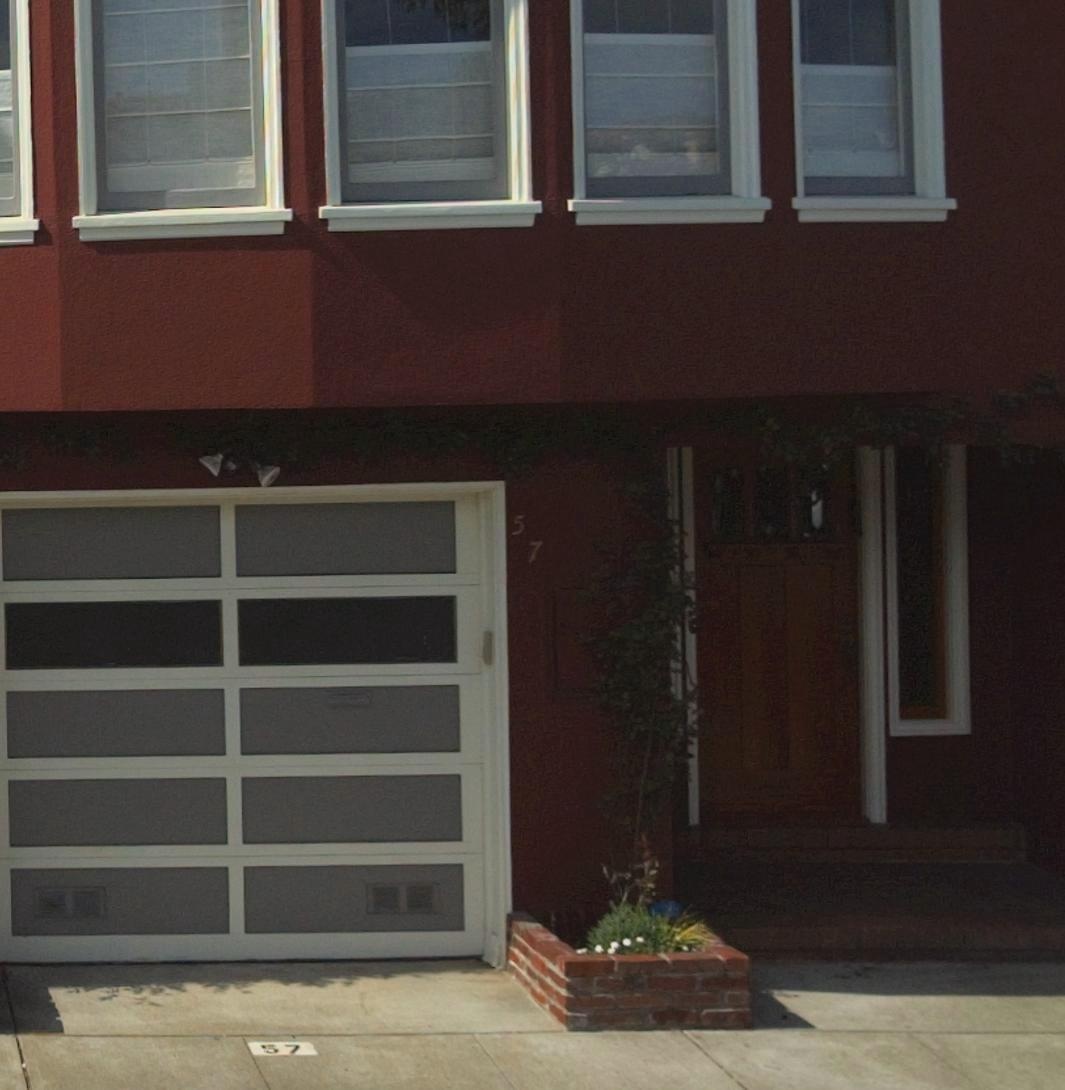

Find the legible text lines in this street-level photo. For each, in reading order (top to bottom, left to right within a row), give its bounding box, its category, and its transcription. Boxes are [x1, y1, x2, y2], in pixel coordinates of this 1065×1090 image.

[509, 512, 546, 565] StreetNumber: 57
[257, 1042, 304, 1056] StreetNumber: 57